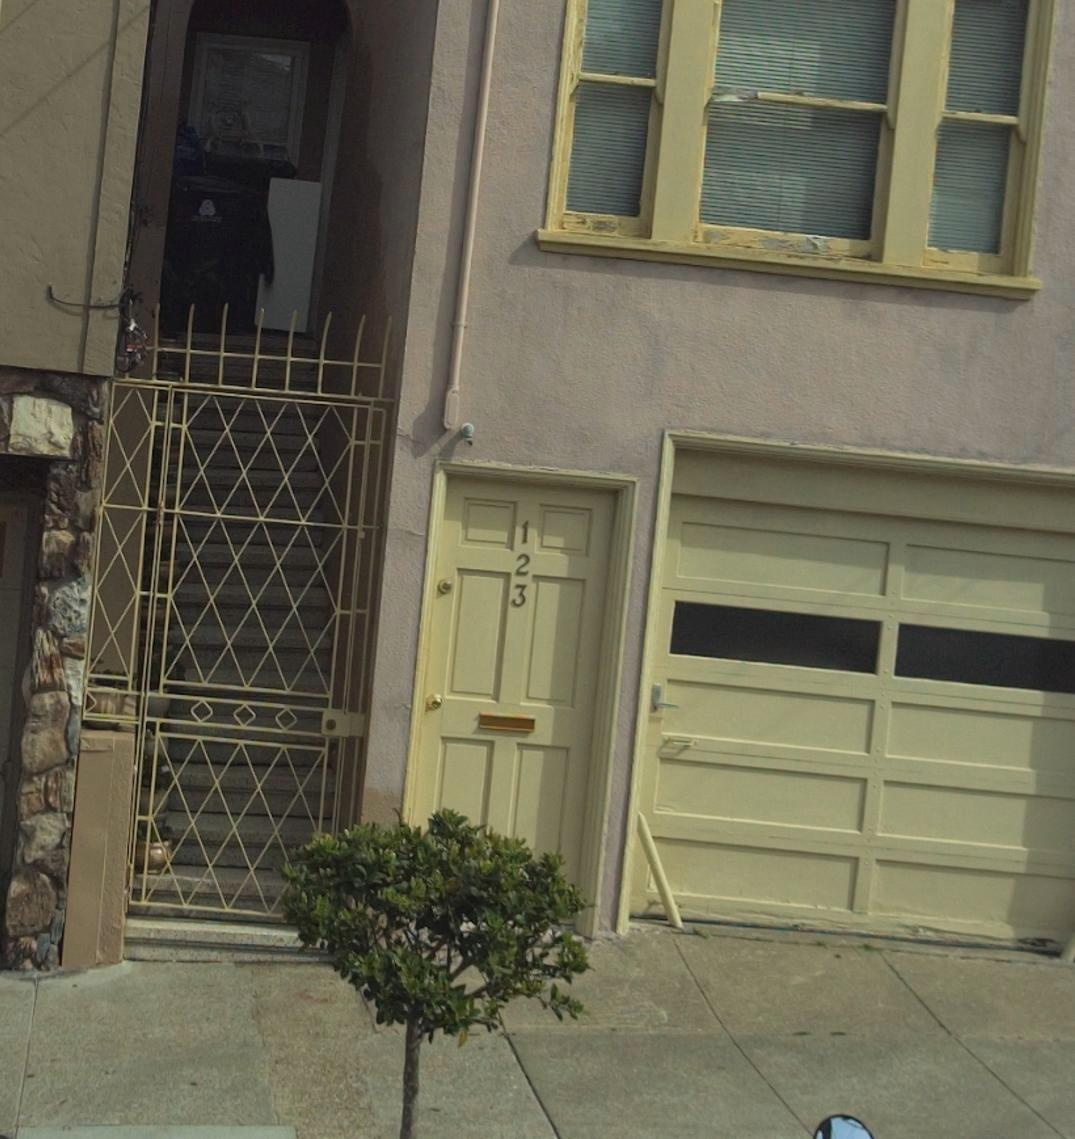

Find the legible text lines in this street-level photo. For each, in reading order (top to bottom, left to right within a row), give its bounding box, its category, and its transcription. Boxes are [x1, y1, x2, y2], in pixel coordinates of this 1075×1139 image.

[510, 518, 530, 609] StreetNumber: 123